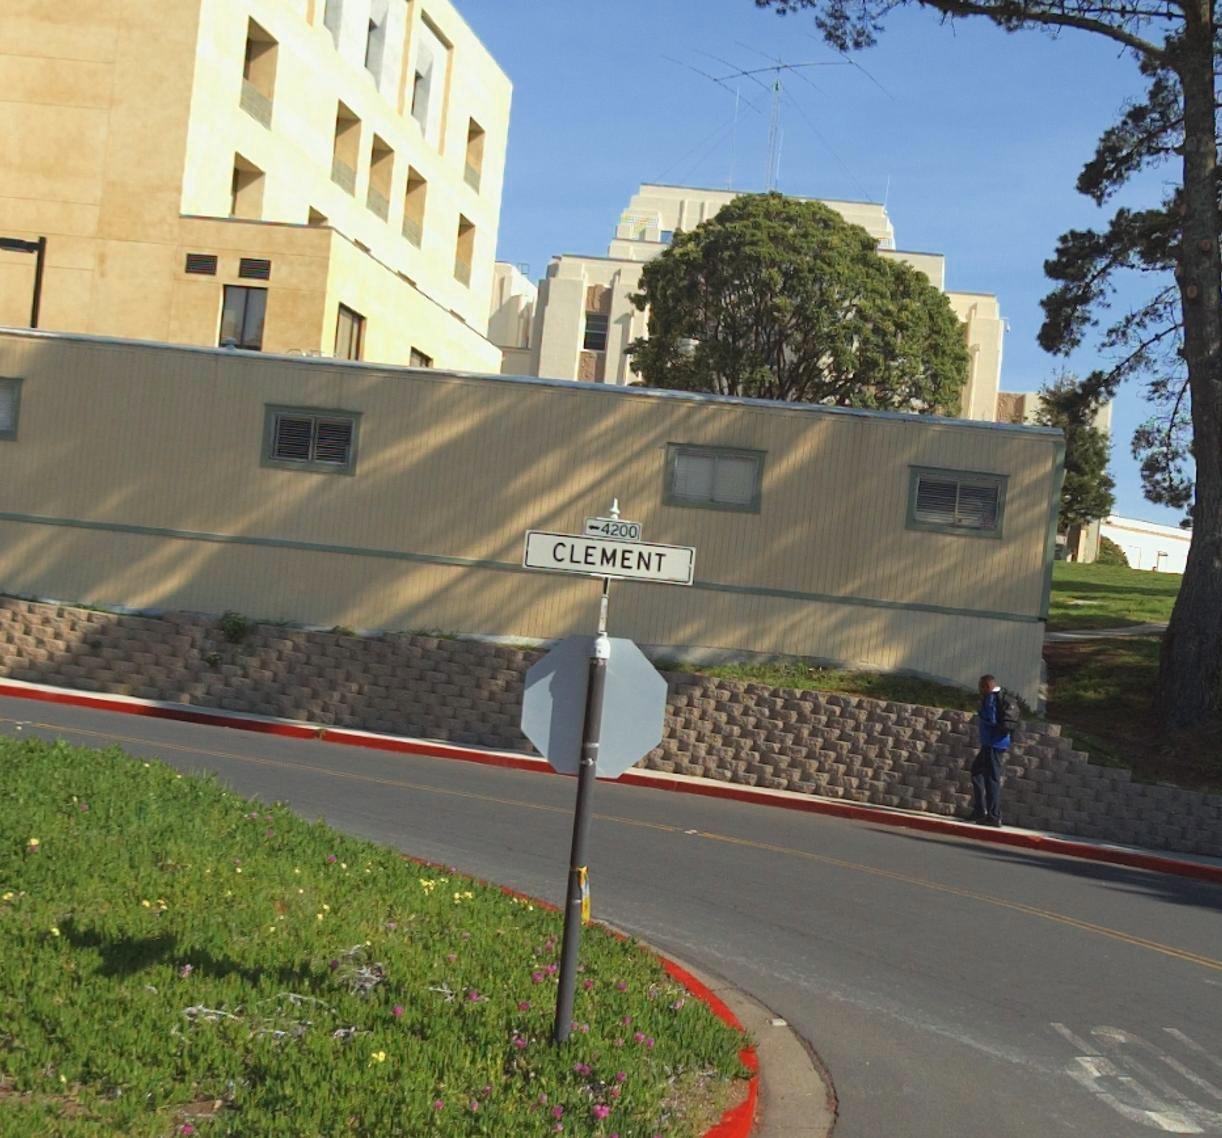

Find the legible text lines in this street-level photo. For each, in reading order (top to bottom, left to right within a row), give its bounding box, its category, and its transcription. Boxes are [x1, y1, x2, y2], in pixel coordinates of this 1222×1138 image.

[586, 520, 640, 542] StreetNumberRange: <-4200
[549, 540, 668, 575] StreetName: CLEMENT